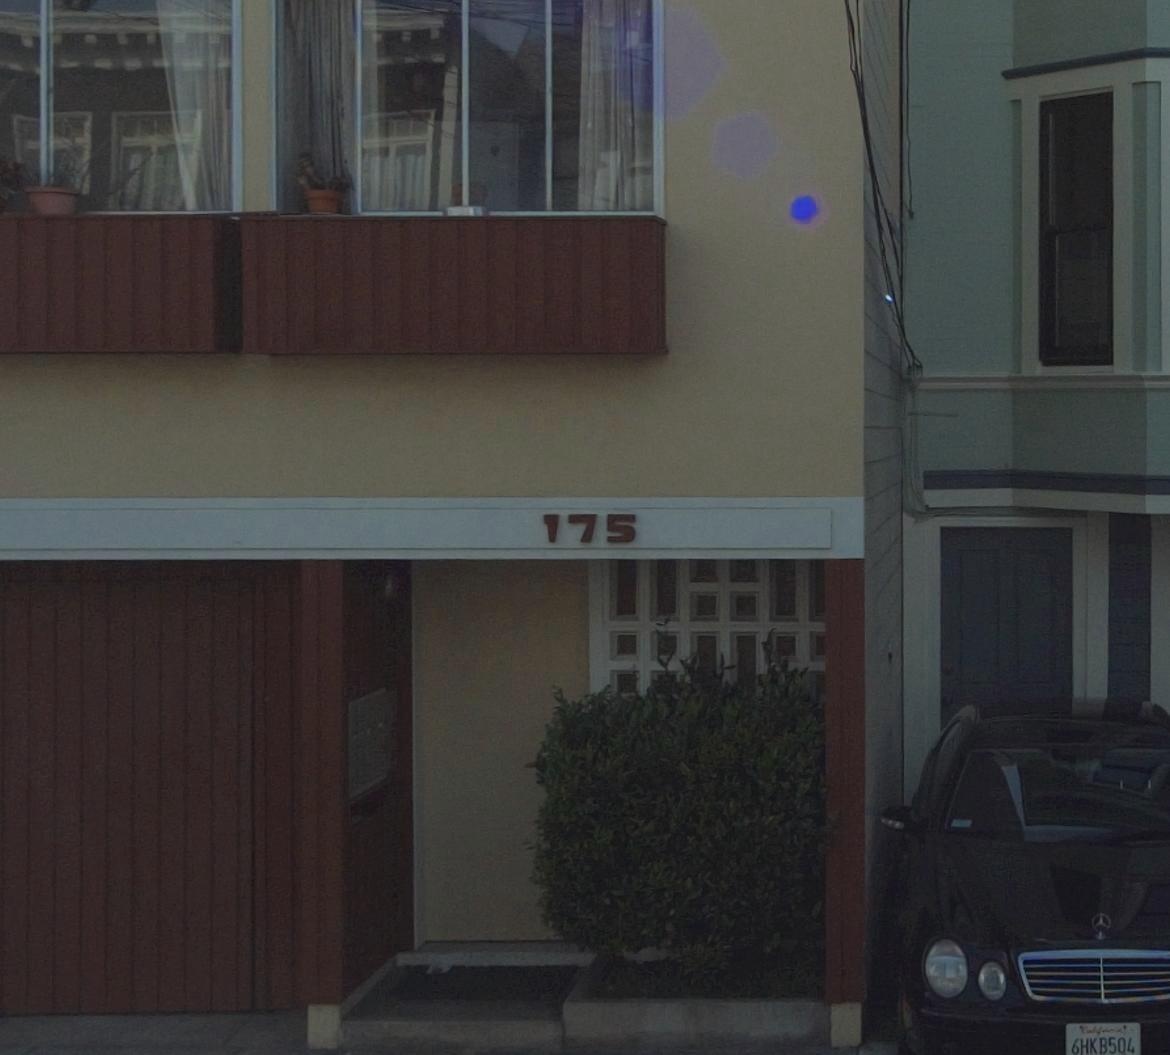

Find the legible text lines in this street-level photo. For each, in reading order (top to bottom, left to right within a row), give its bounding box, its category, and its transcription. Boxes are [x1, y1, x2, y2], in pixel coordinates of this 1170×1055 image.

[541, 512, 638, 545] StreetNumber: 175
[1069, 1035, 1137, 1055] None: 6HKB504